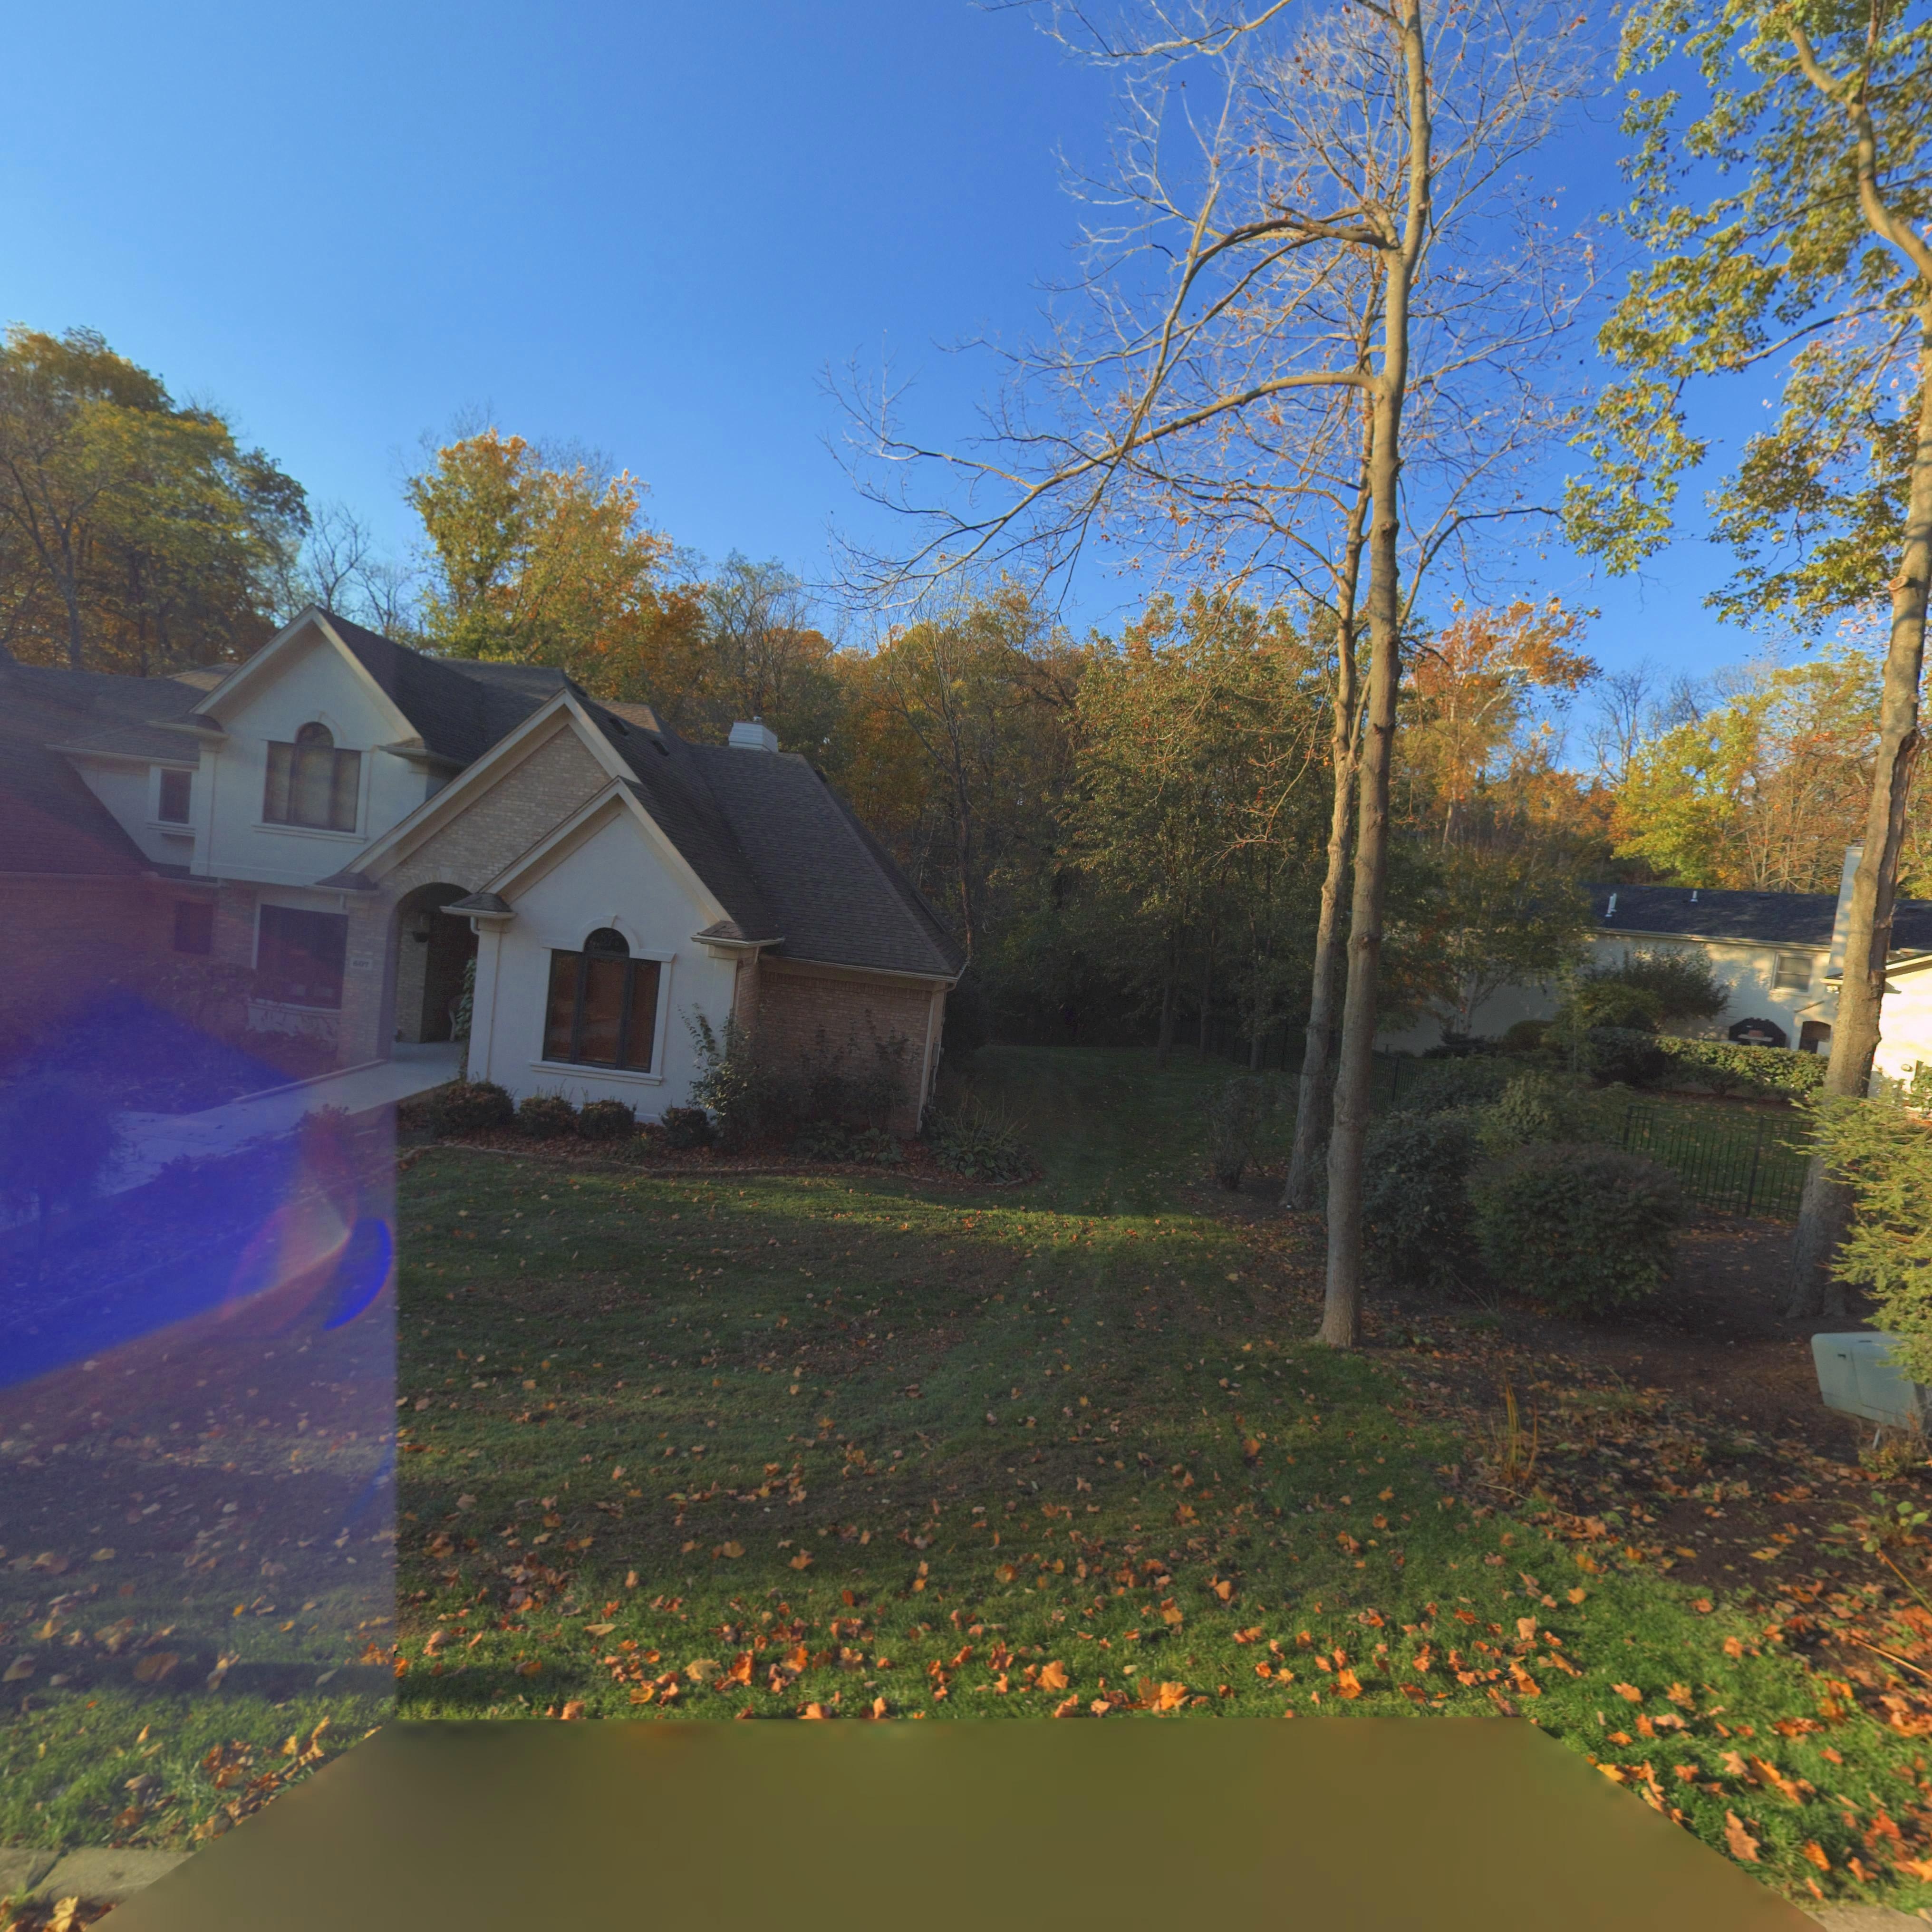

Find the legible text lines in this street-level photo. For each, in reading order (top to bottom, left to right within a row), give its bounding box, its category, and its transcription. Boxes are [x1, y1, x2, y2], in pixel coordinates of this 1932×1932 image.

[352, 958, 370, 969] StreetNumber: 607